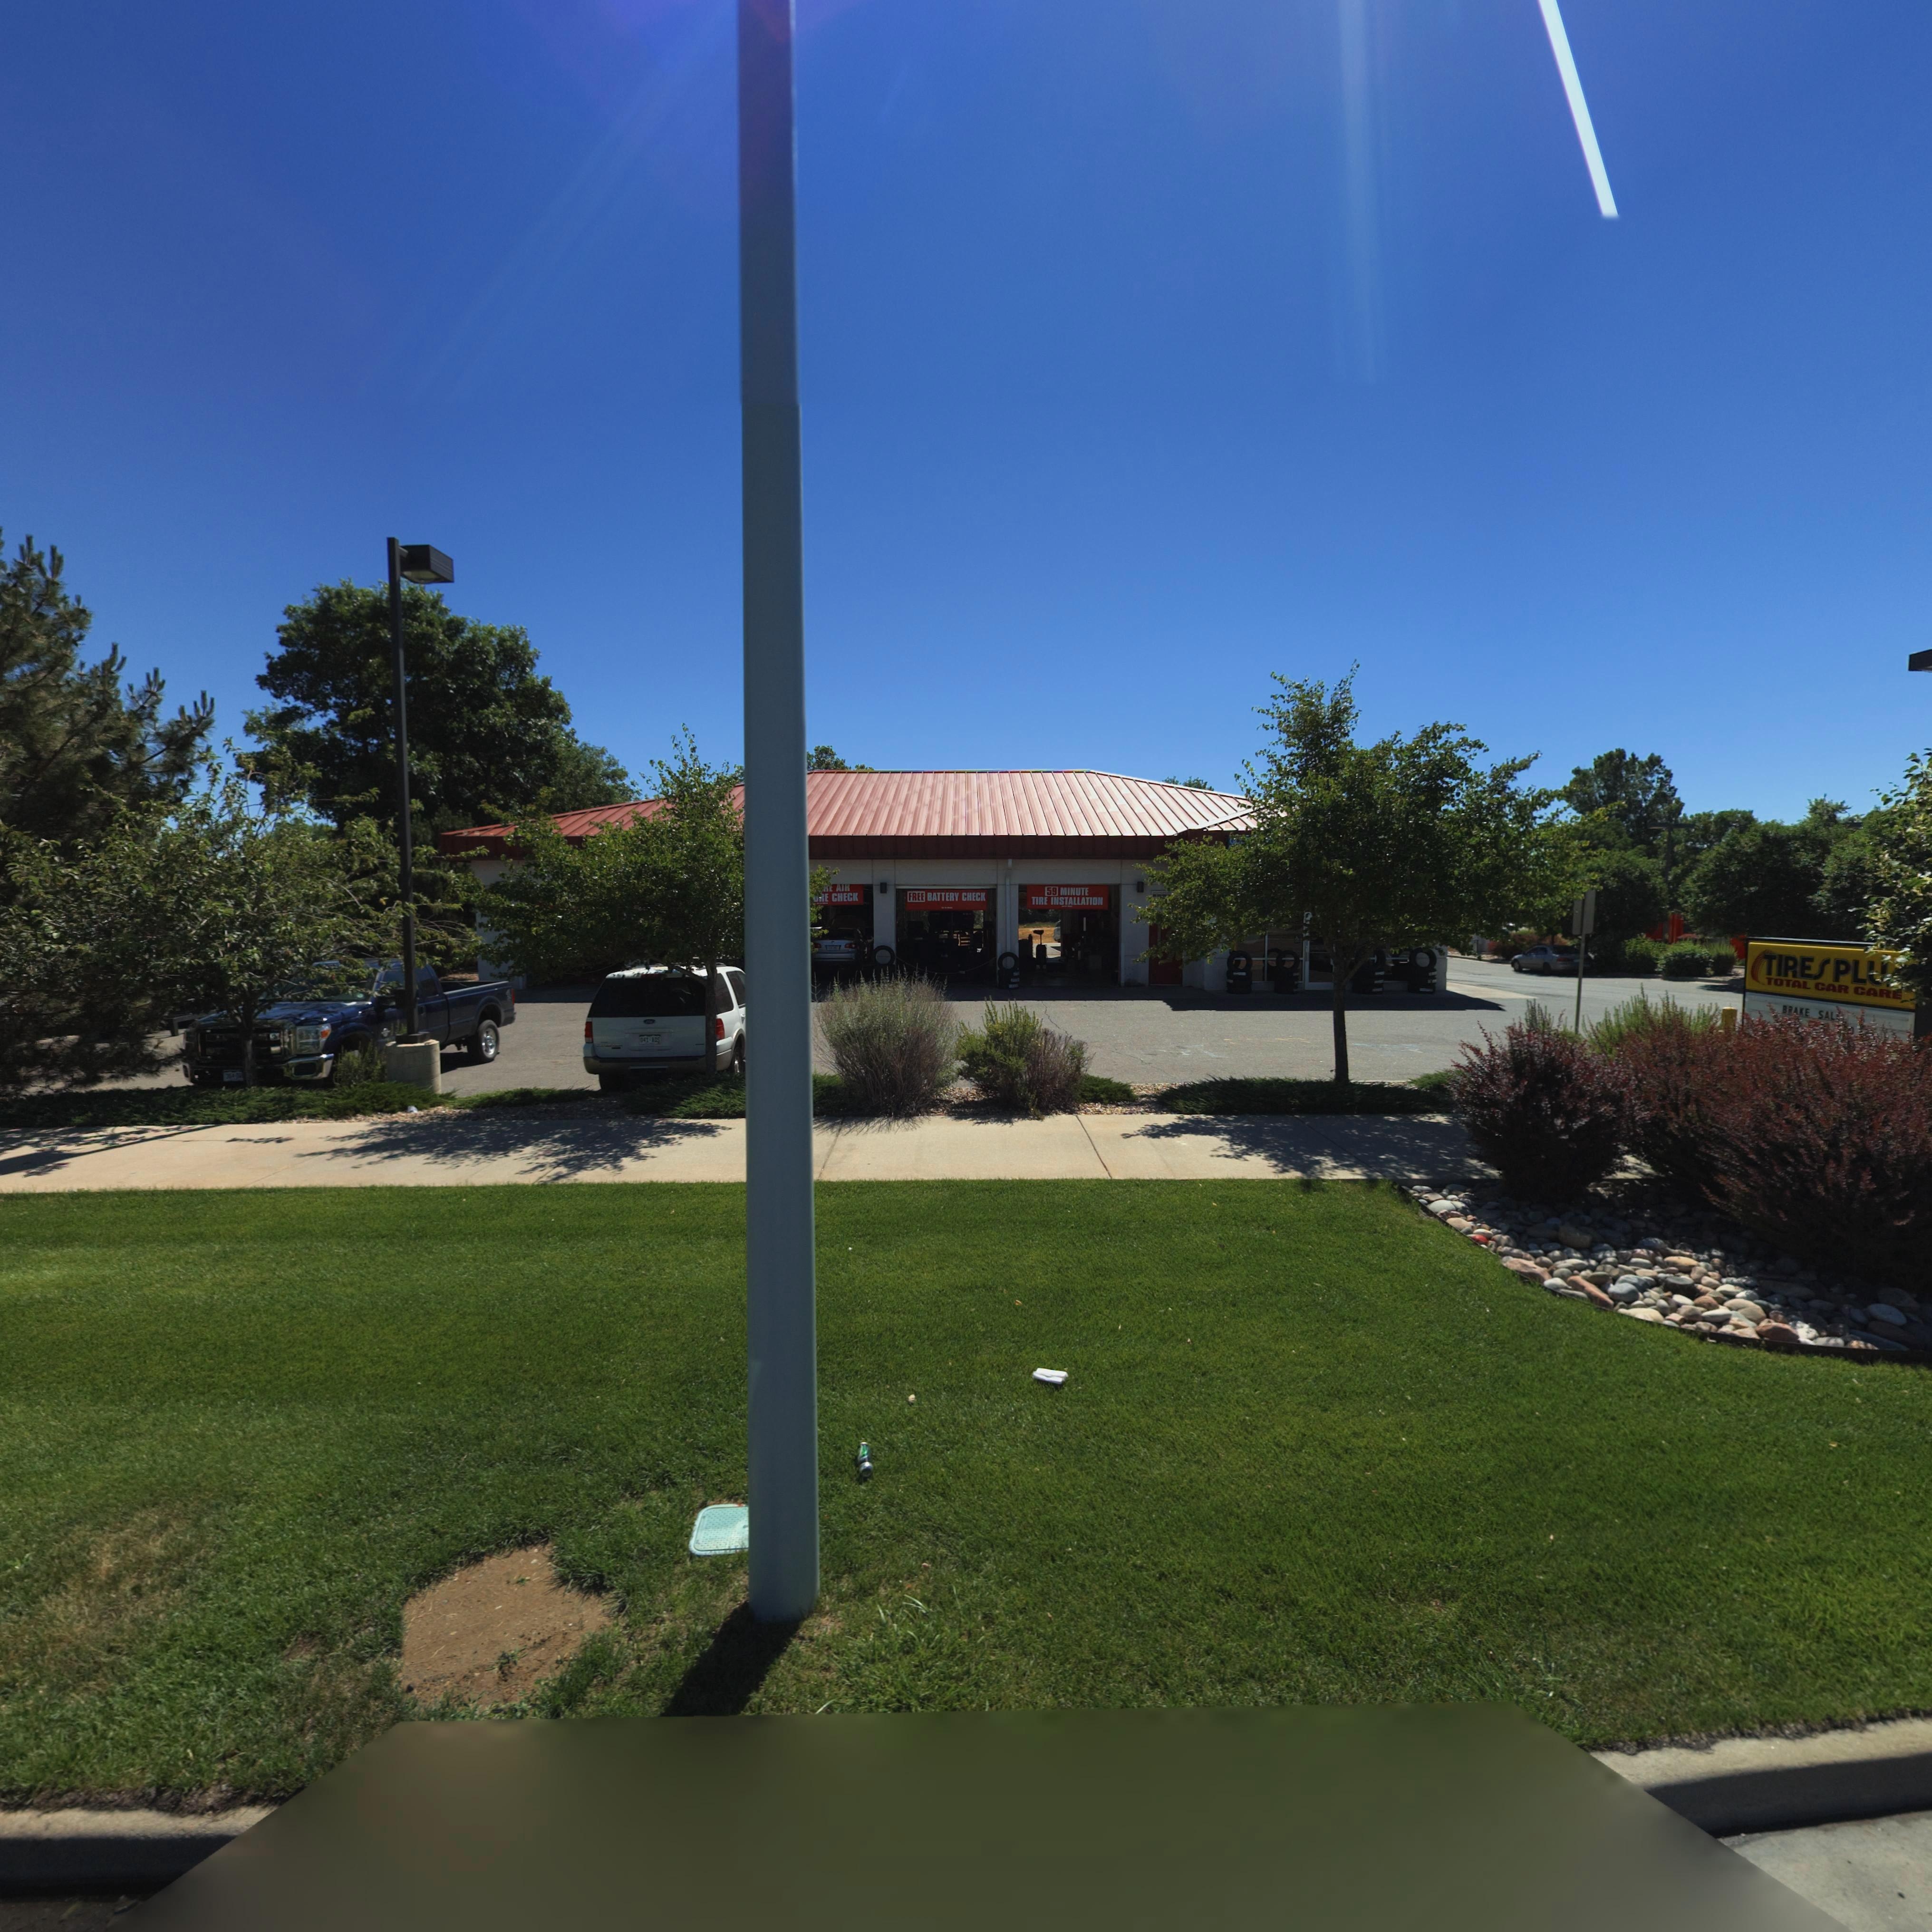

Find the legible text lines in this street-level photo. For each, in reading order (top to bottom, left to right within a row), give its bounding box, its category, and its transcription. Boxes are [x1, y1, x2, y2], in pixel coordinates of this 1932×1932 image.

[1761, 953, 1889, 987] BusinessName: TIRES PLU
[1765, 976, 1903, 1001] BusinessName: TOTAL CAR CARE